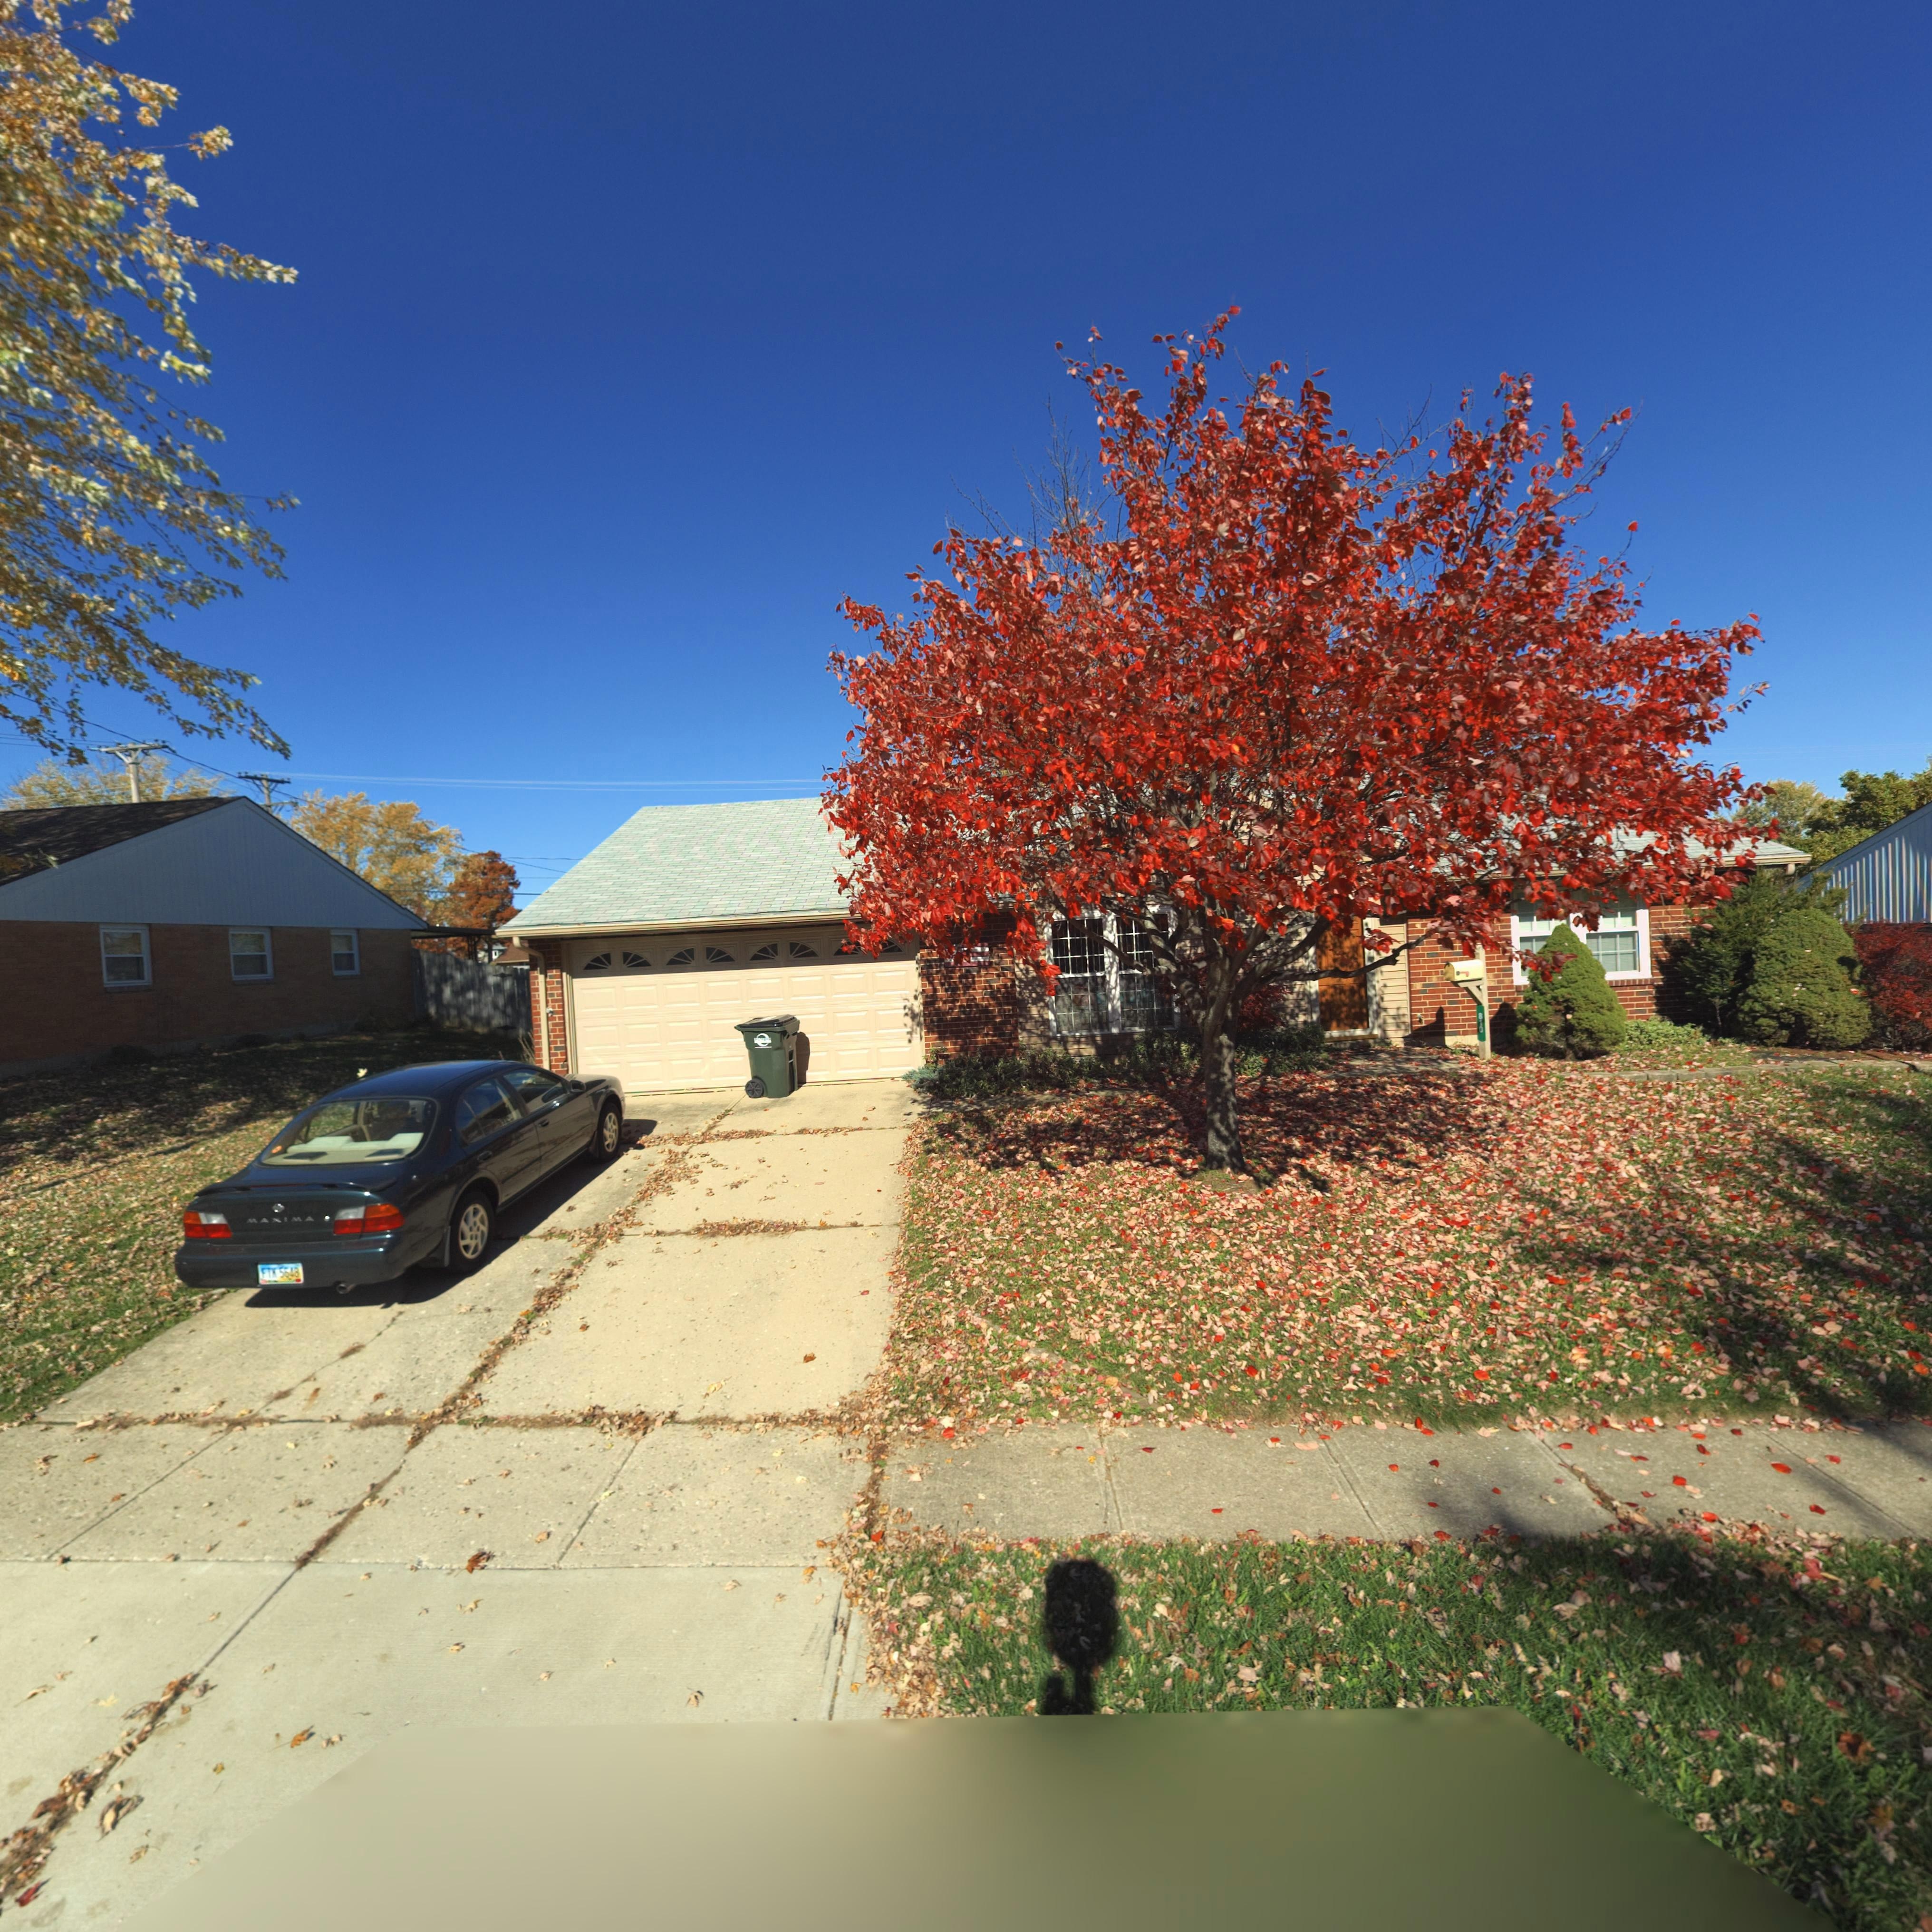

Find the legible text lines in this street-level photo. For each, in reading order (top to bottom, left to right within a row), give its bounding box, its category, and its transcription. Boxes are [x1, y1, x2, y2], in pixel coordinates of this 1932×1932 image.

[1478, 1013, 1484, 1033] StreetNumber: 810